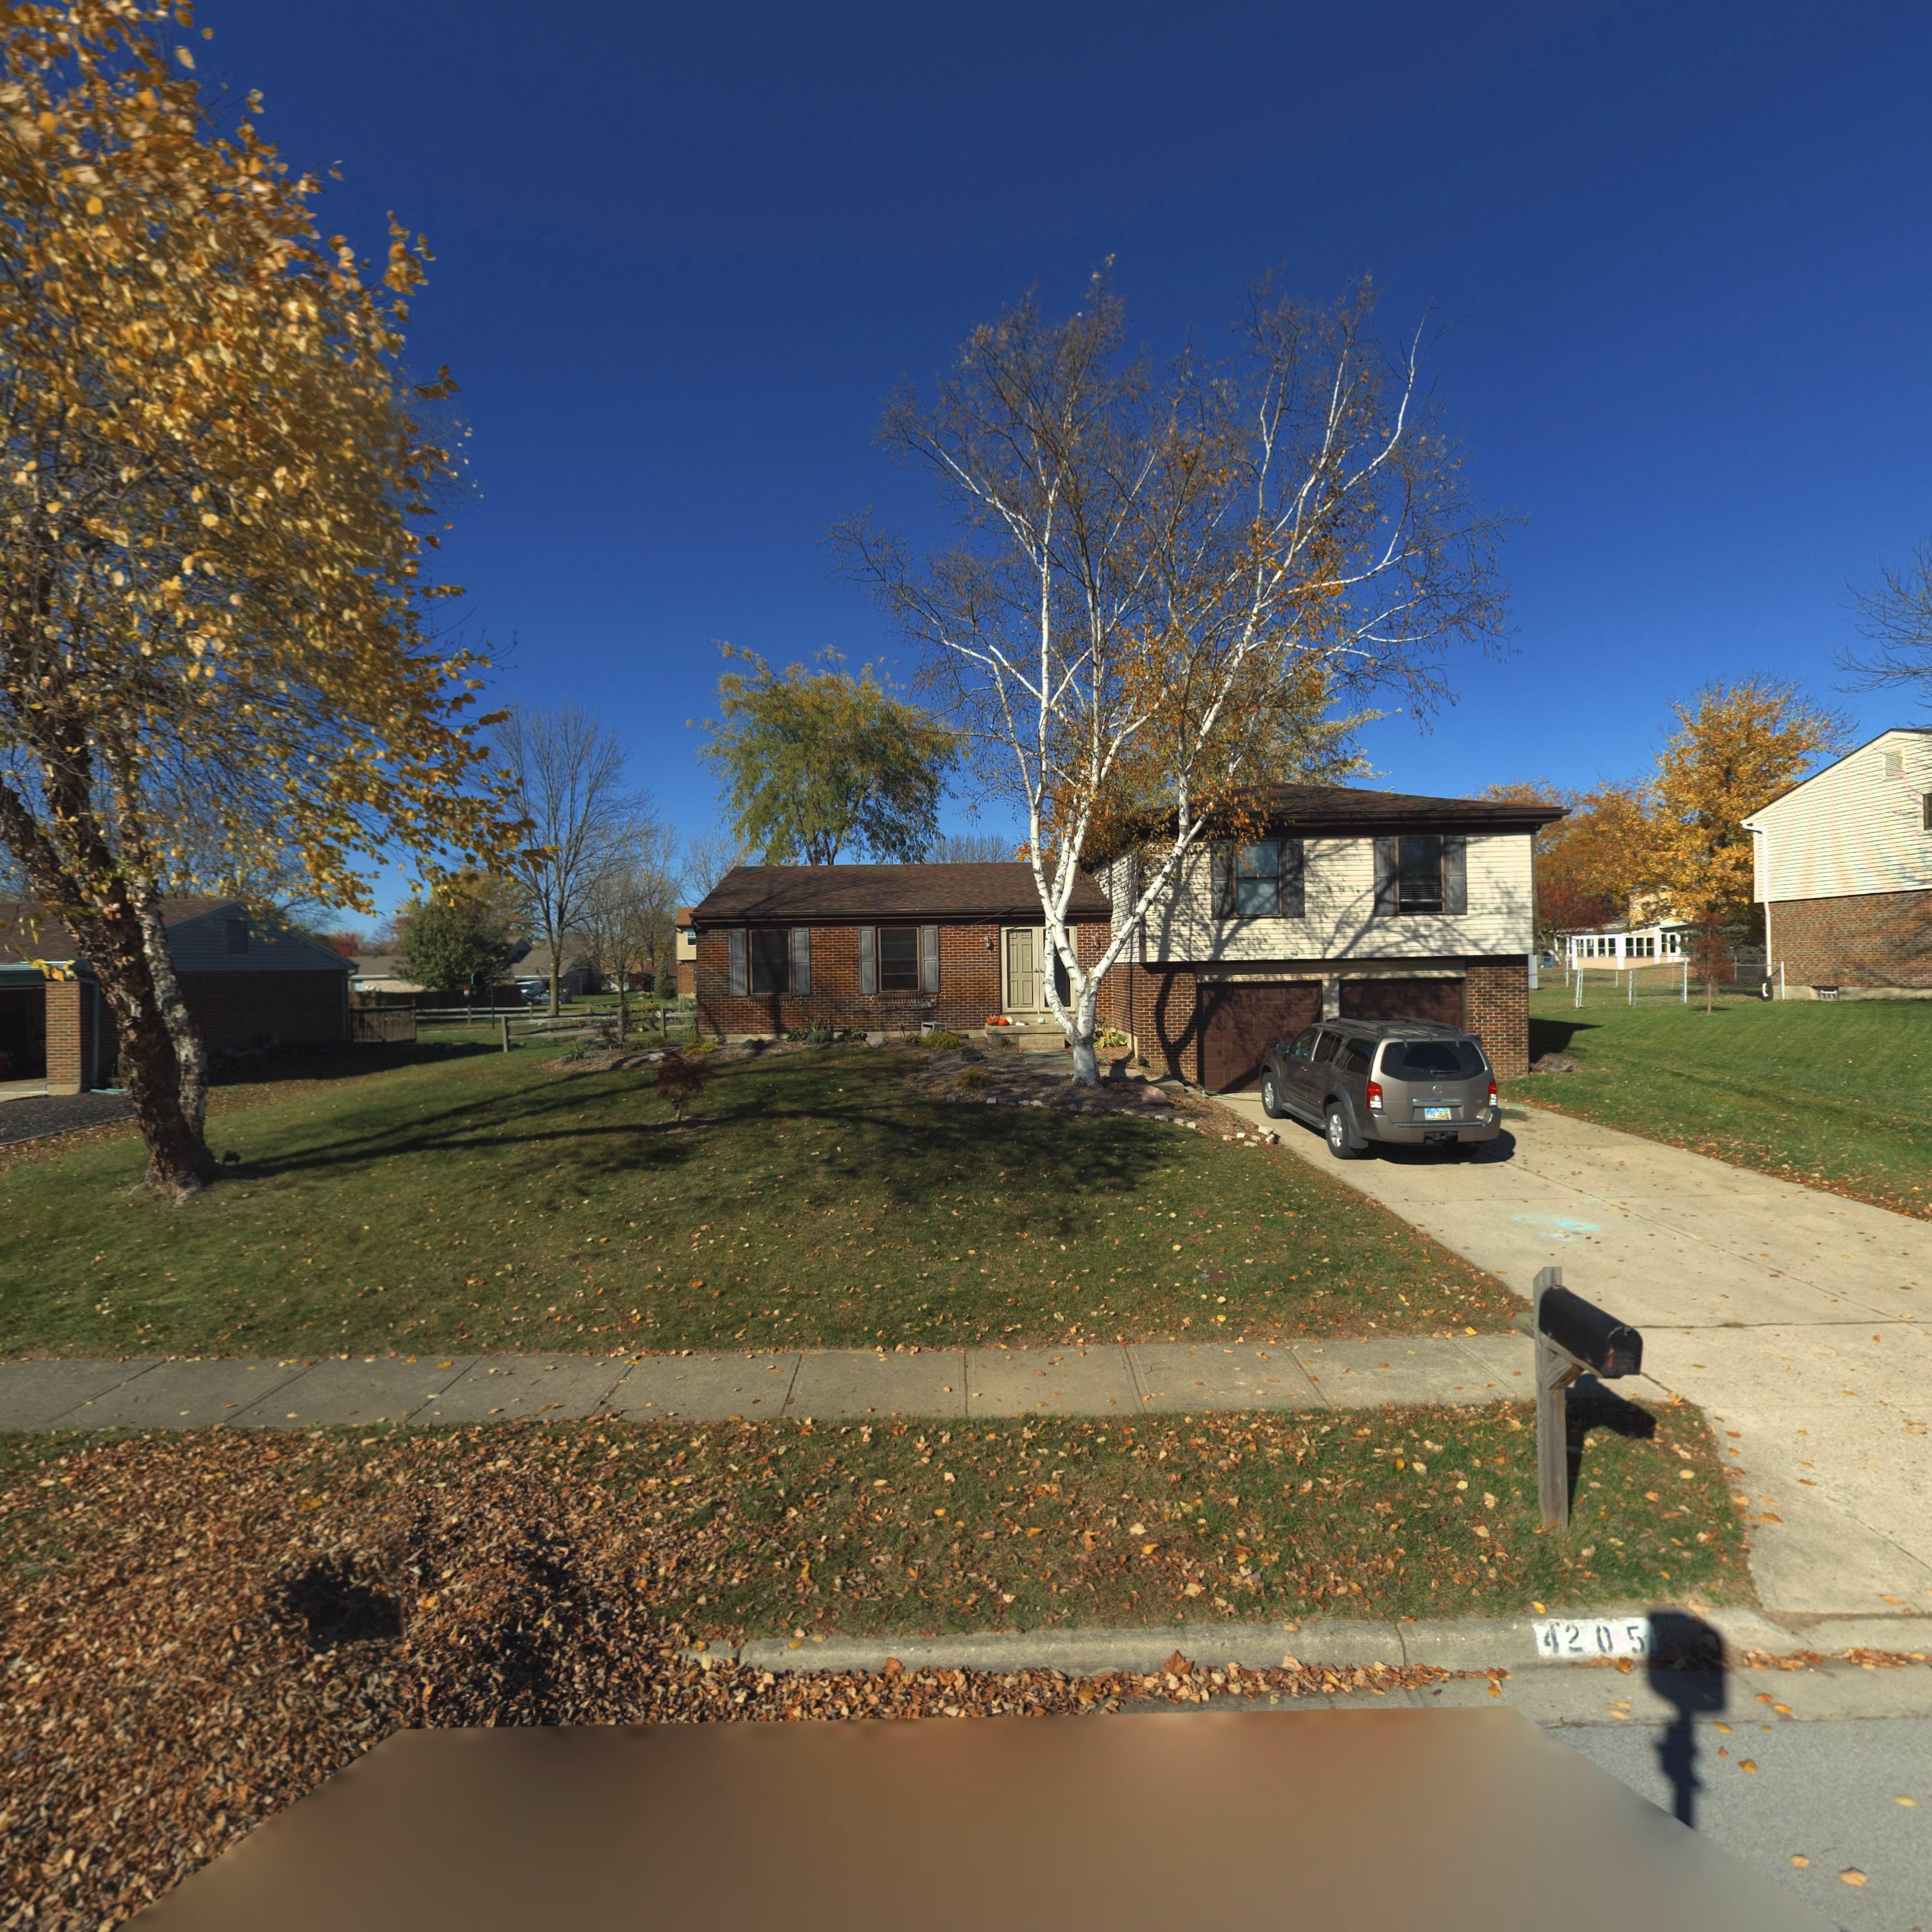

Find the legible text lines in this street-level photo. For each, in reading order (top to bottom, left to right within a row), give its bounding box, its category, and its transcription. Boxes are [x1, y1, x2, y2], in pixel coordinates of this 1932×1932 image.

[1543, 1623, 1647, 1655] StreetNumber: 4205